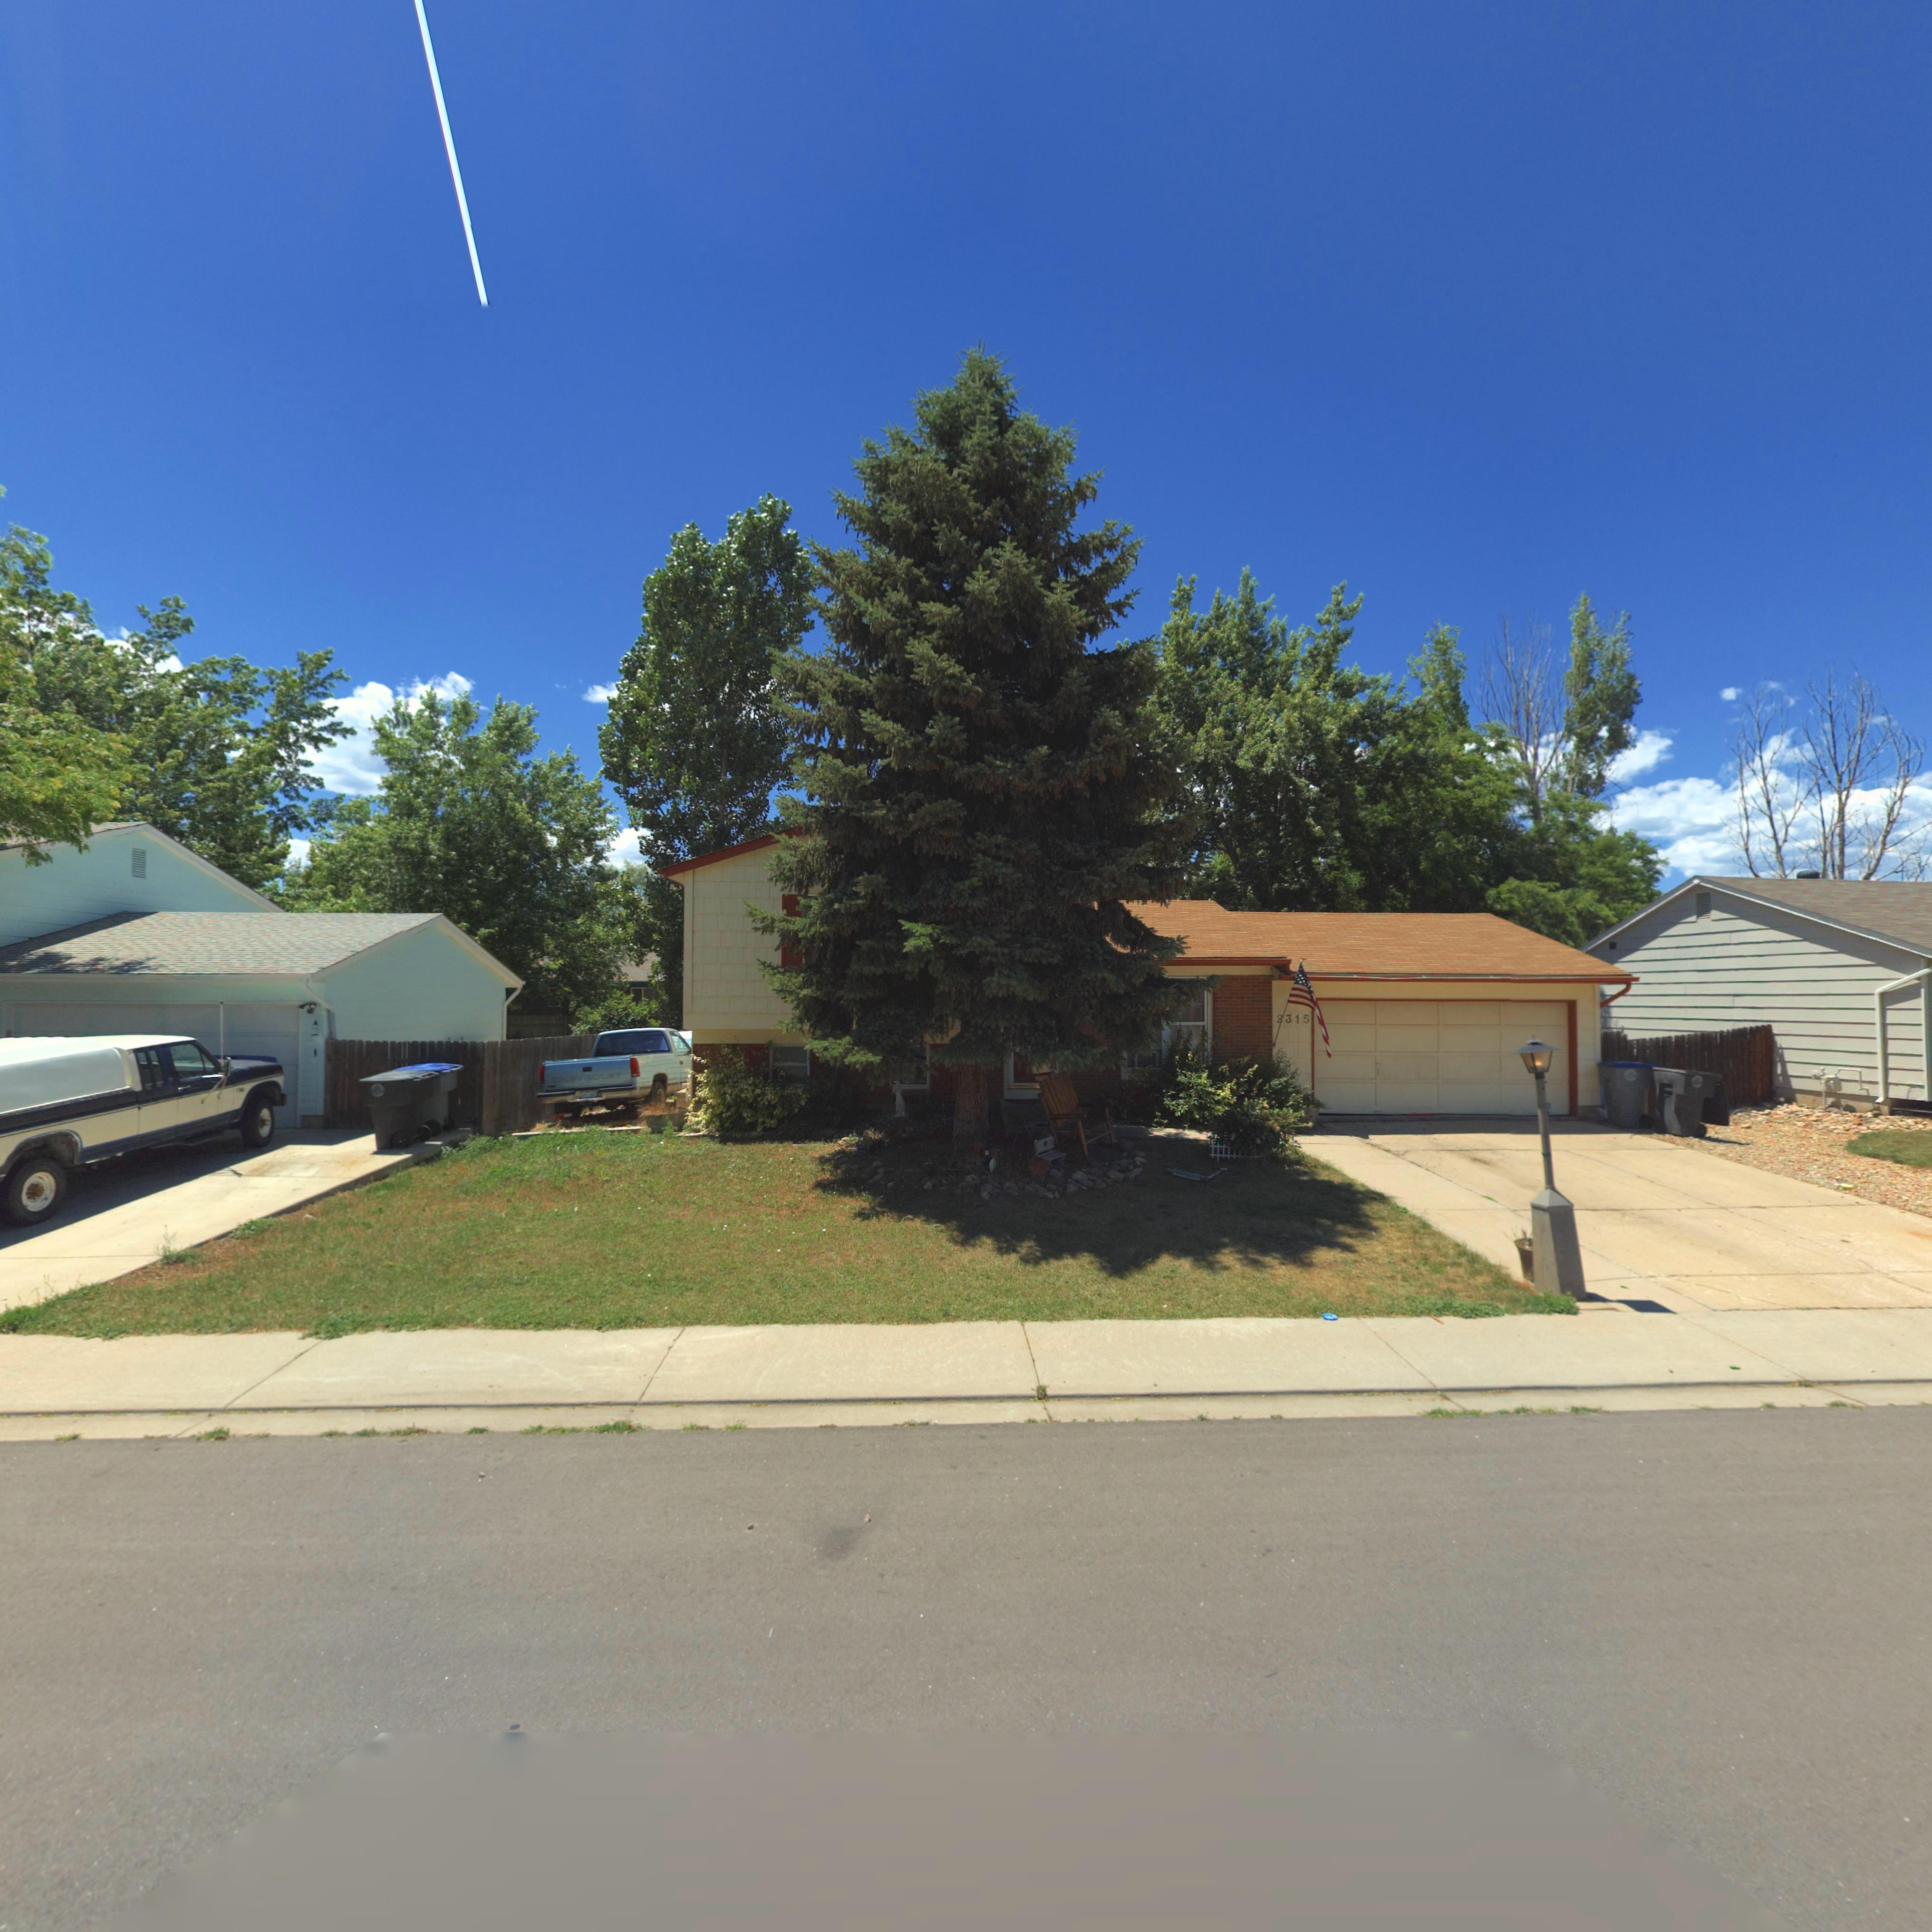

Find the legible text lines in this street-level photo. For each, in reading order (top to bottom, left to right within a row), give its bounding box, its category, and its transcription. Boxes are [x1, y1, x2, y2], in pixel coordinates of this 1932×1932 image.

[1275, 1014, 1310, 1024] StreetNumber: *315